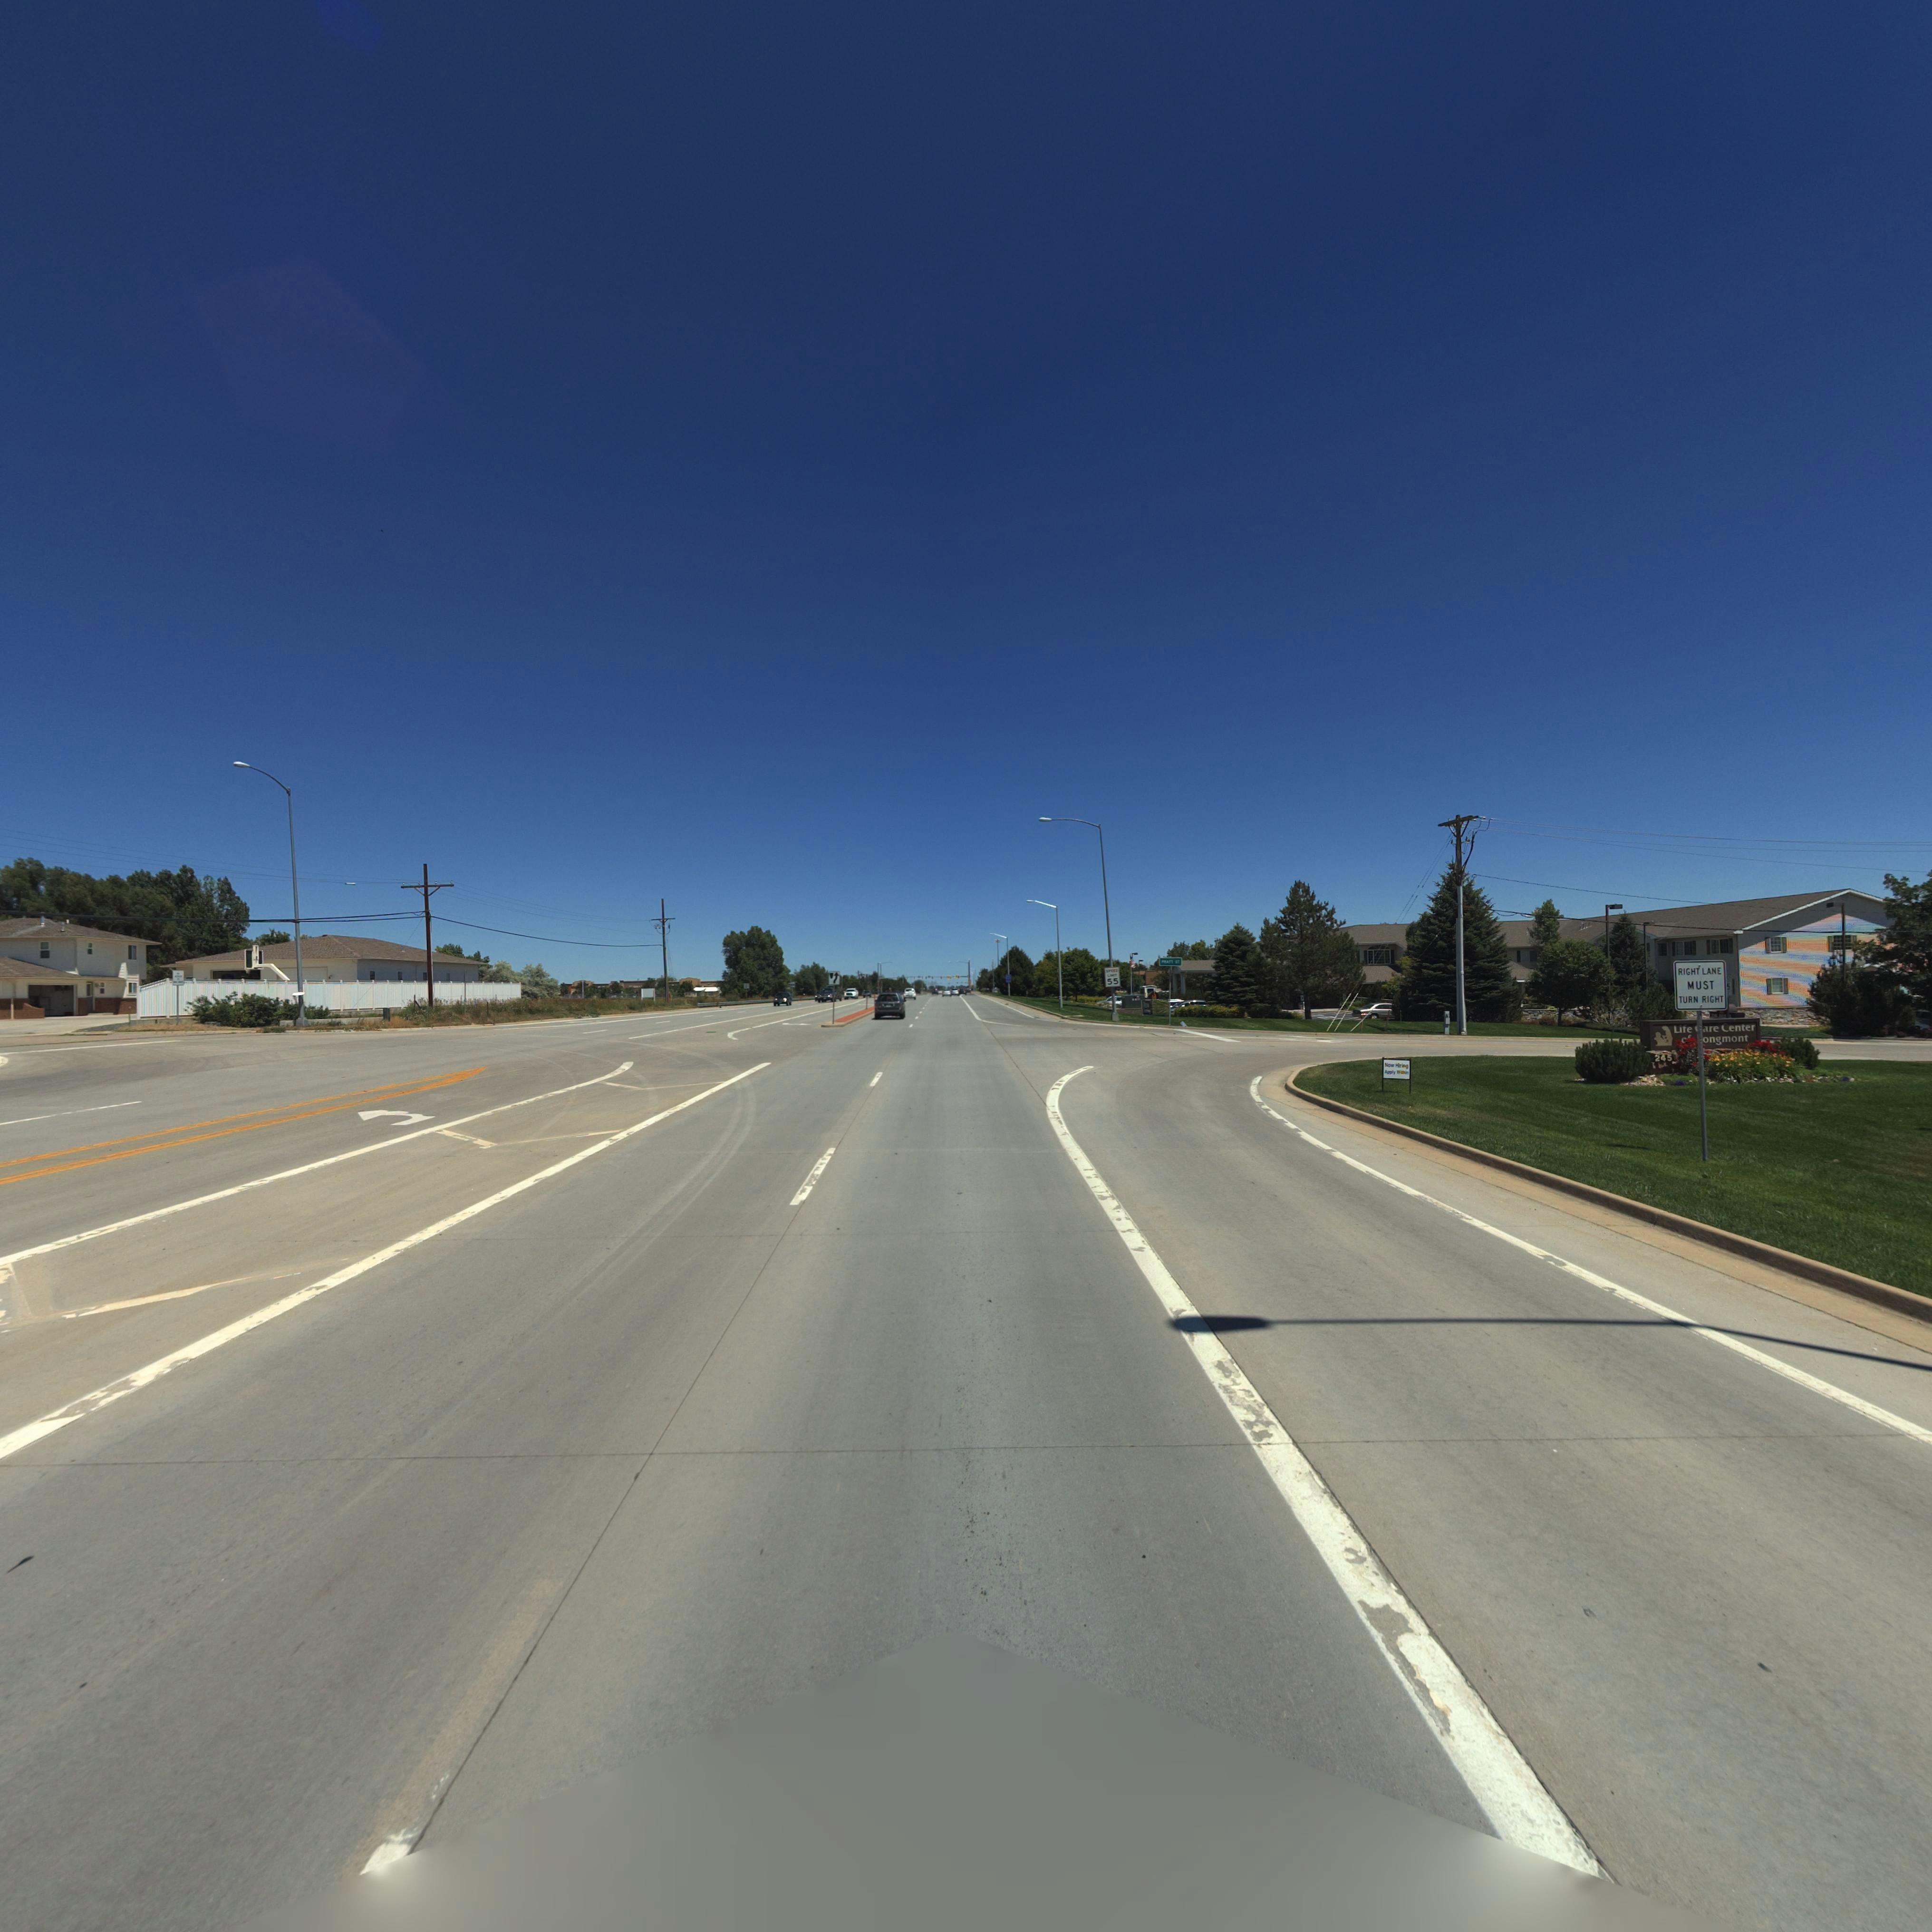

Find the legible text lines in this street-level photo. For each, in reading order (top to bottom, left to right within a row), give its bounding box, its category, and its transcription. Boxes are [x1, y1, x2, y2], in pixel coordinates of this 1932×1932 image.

[1160, 960, 1179, 964] StreetName: PRATT *R
[1673, 1022, 1756, 1034] BusinessName: Life *are Center
[1681, 1034, 1748, 1046] BusinessName: ** *ongmont
[1654, 1053, 1672, 1062] StreetNumber: 245